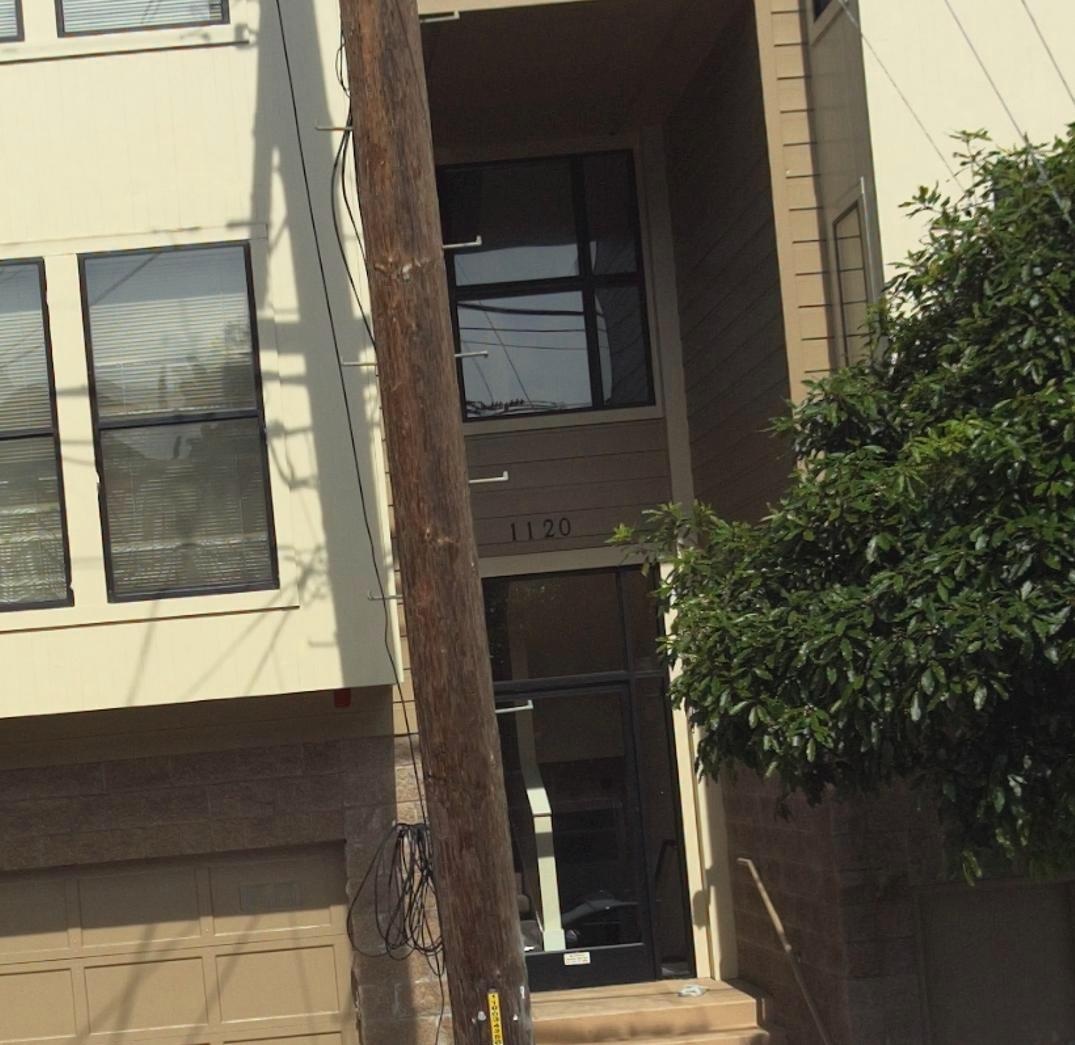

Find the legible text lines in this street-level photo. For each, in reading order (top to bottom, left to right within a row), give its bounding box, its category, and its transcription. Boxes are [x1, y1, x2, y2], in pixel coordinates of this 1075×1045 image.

[509, 514, 573, 544] StreetNumber: 1120